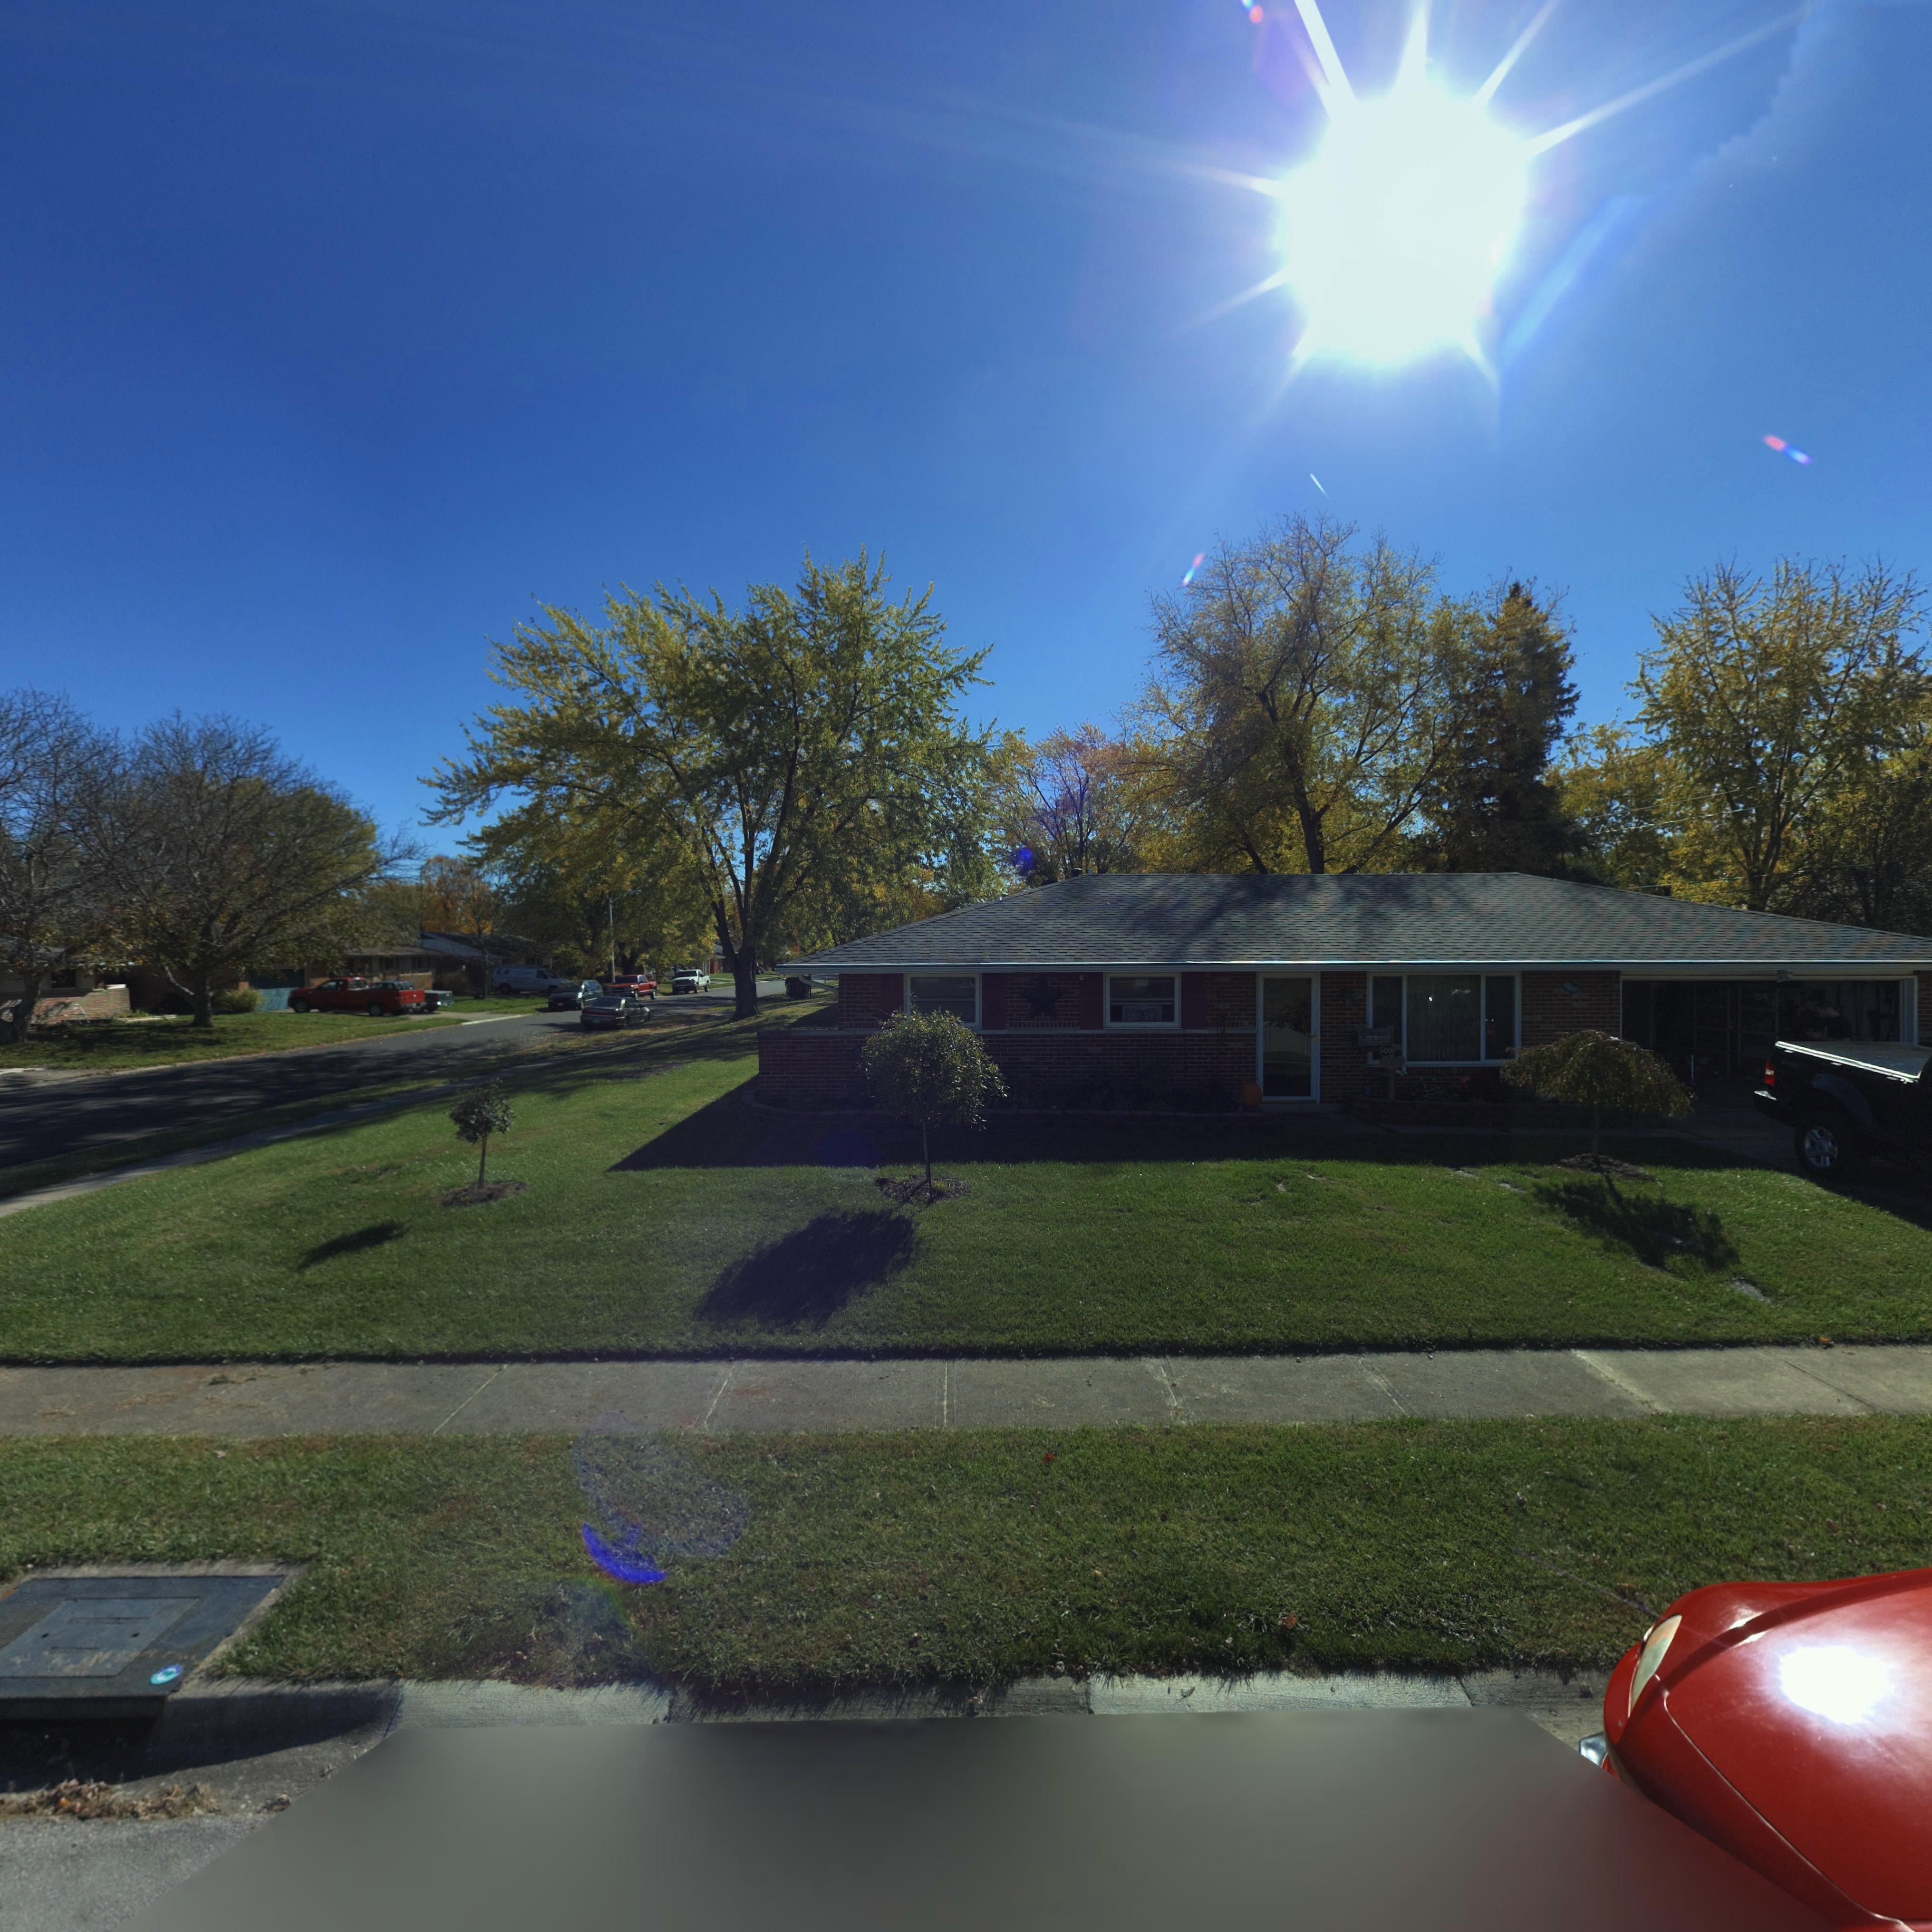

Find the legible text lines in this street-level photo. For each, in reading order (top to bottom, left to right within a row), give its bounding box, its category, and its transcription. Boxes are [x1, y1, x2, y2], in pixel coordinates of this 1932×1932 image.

[1379, 1046, 1392, 1054] StreetNumber: 500